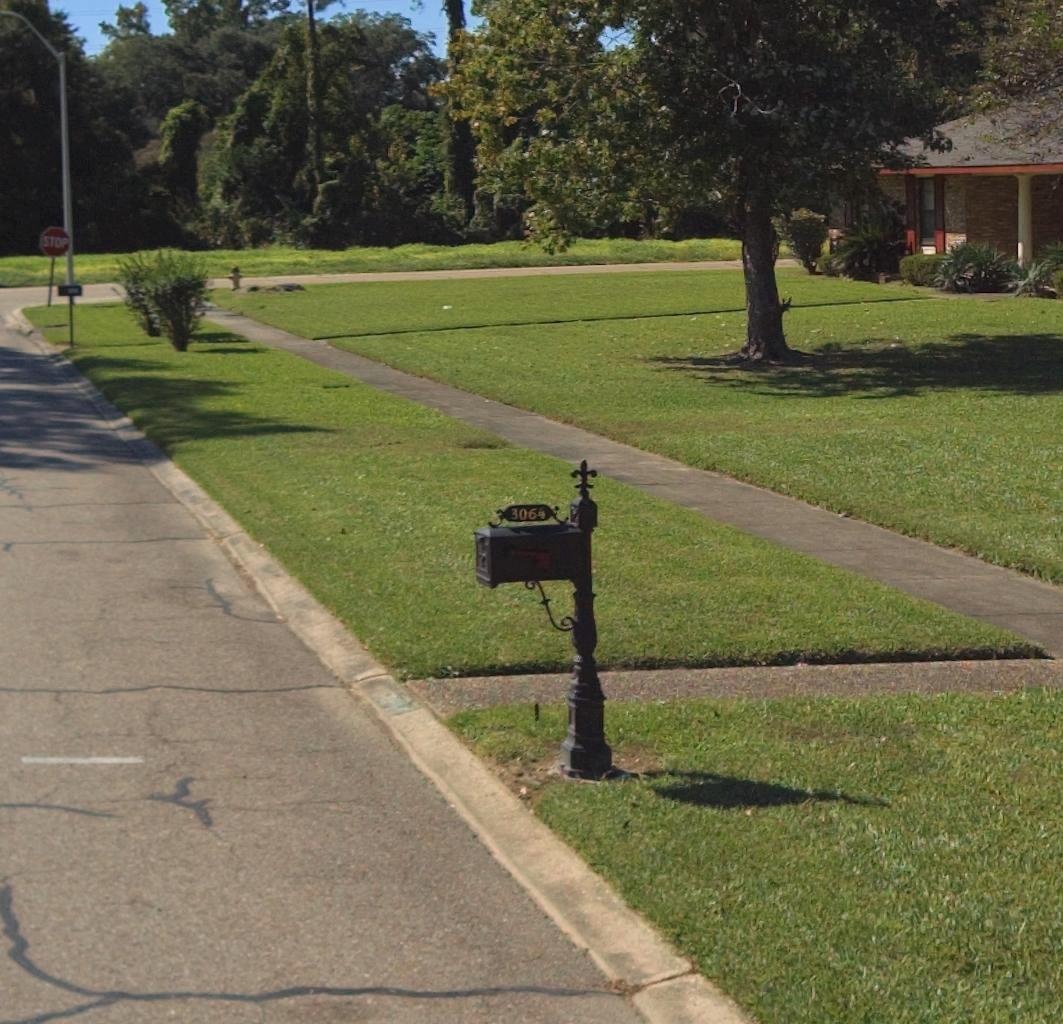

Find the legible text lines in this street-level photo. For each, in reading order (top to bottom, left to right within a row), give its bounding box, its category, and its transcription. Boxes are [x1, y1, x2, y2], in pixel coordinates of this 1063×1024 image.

[509, 507, 548, 523] StreetNumber: 3064